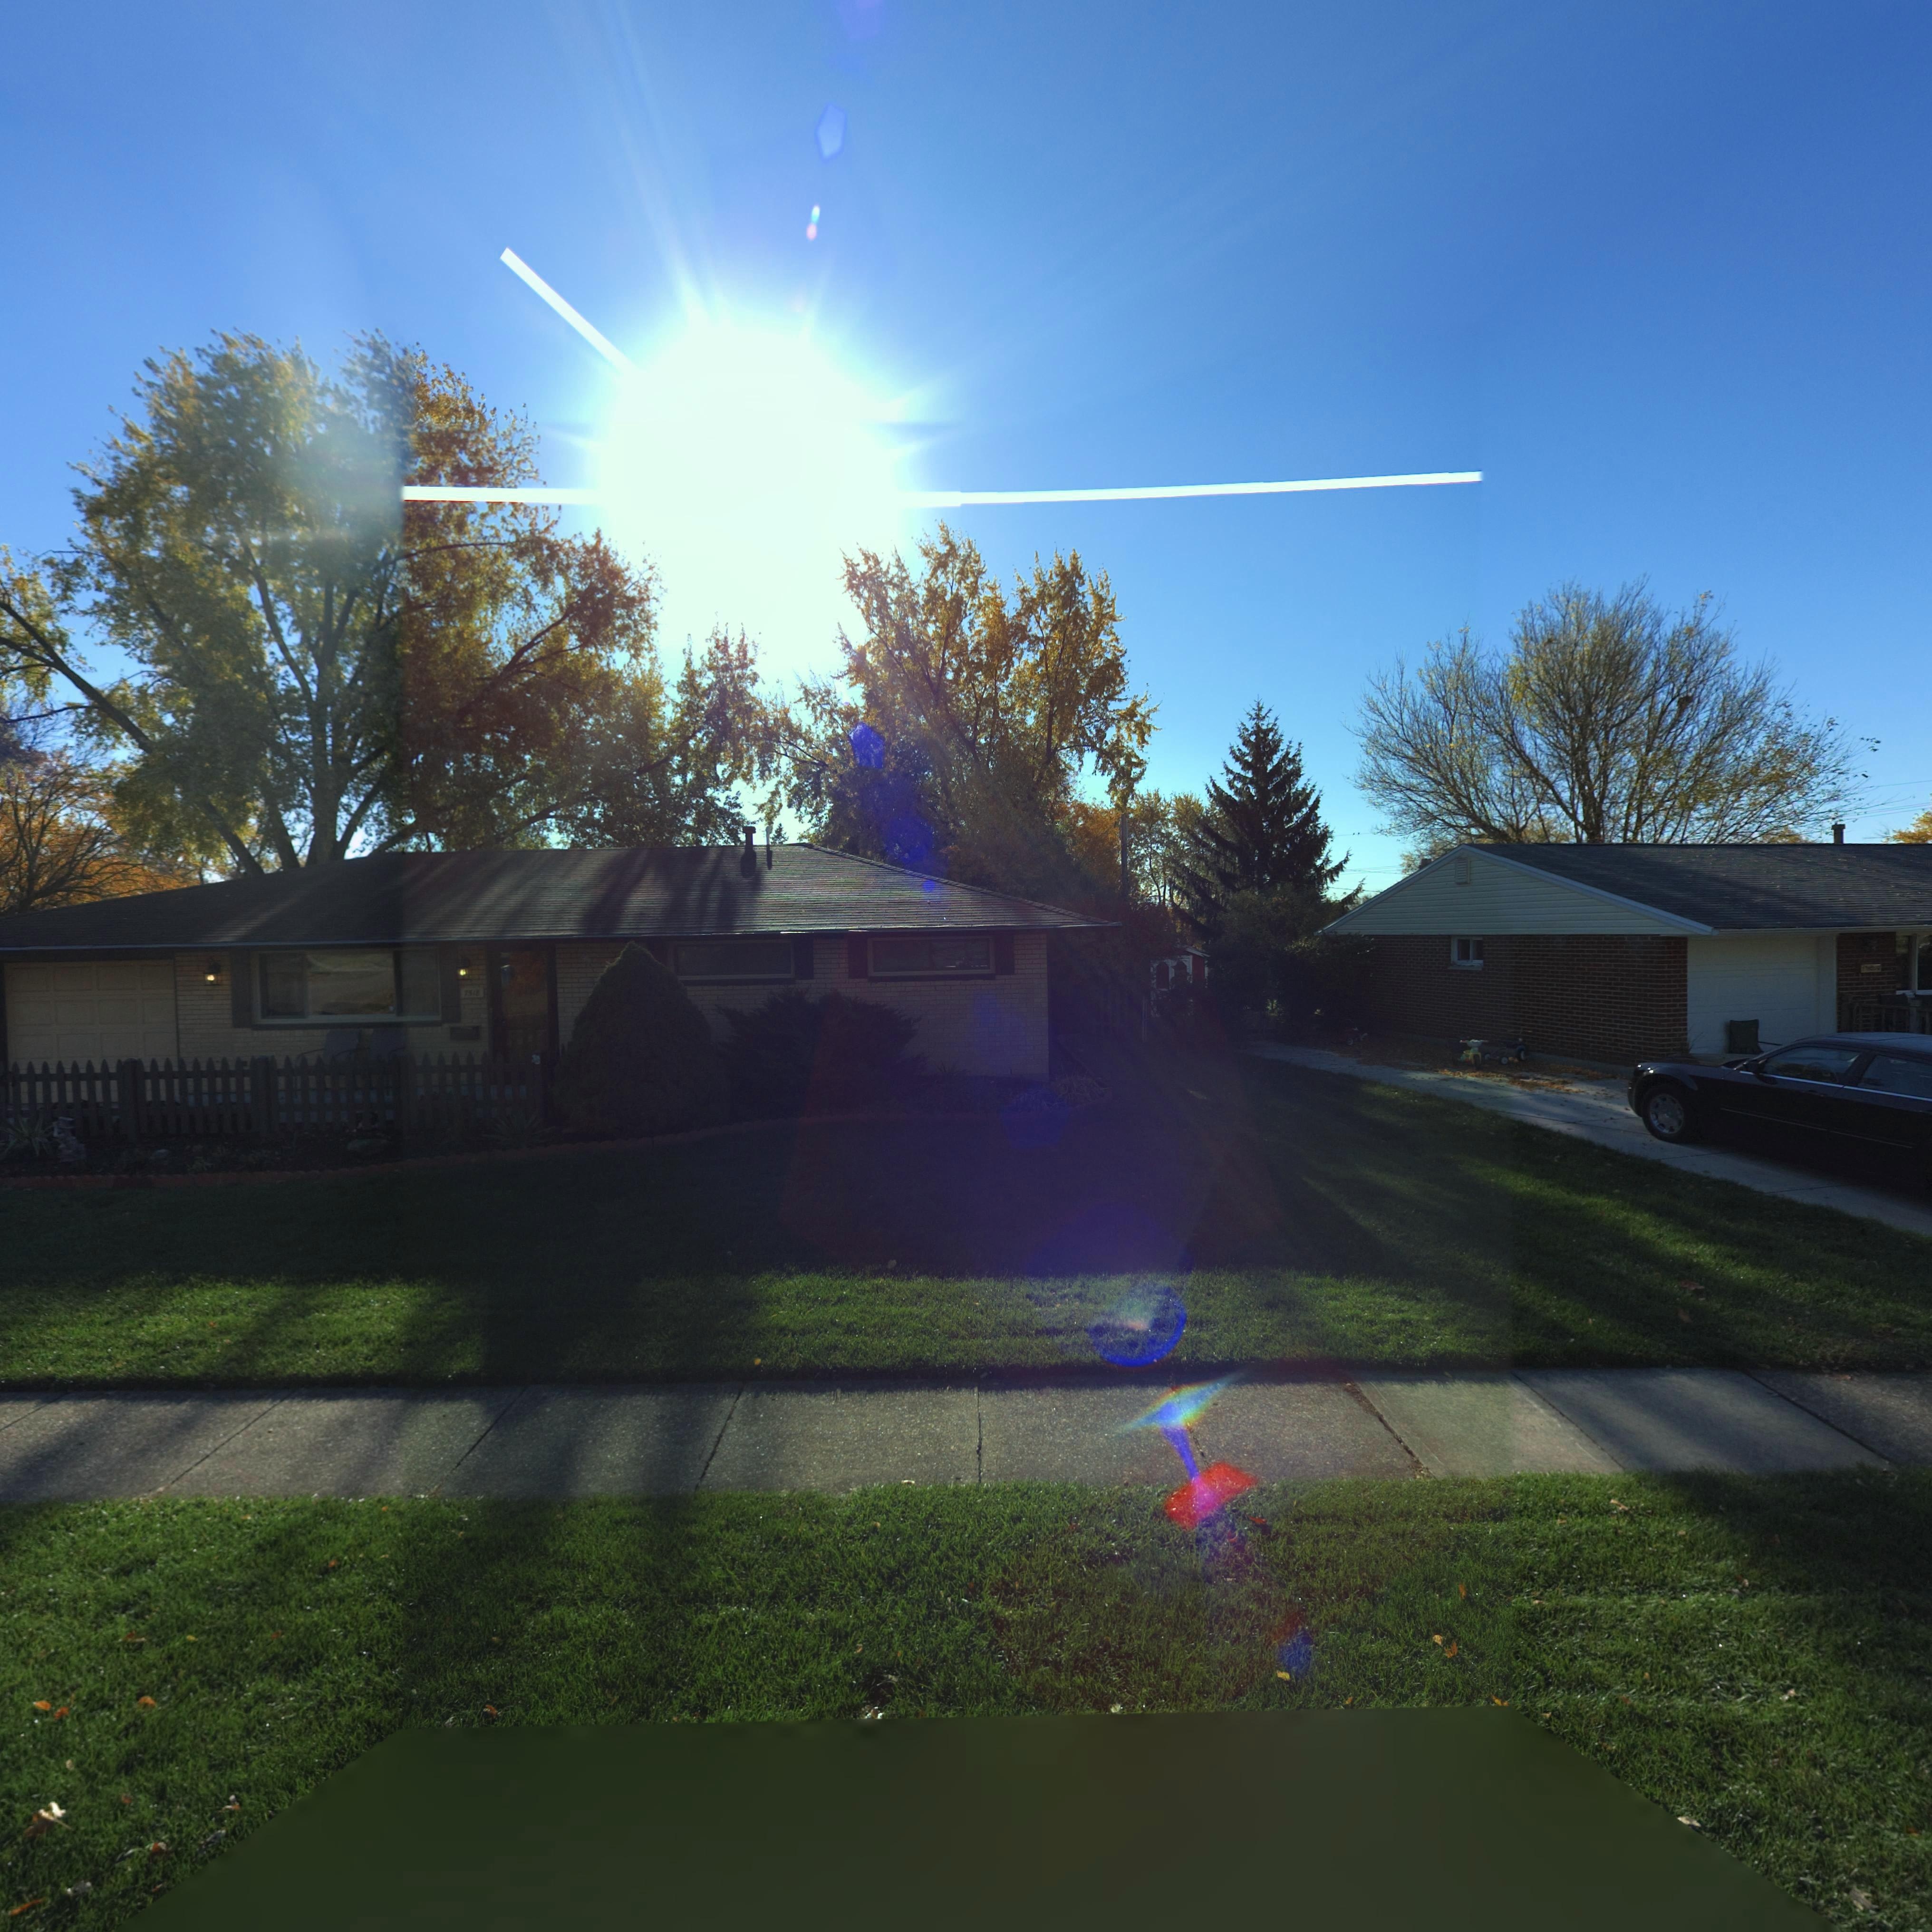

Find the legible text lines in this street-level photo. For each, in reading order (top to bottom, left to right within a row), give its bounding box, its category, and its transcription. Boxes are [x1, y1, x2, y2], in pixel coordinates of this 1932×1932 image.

[463, 989, 481, 998] StreetNumber: 751*